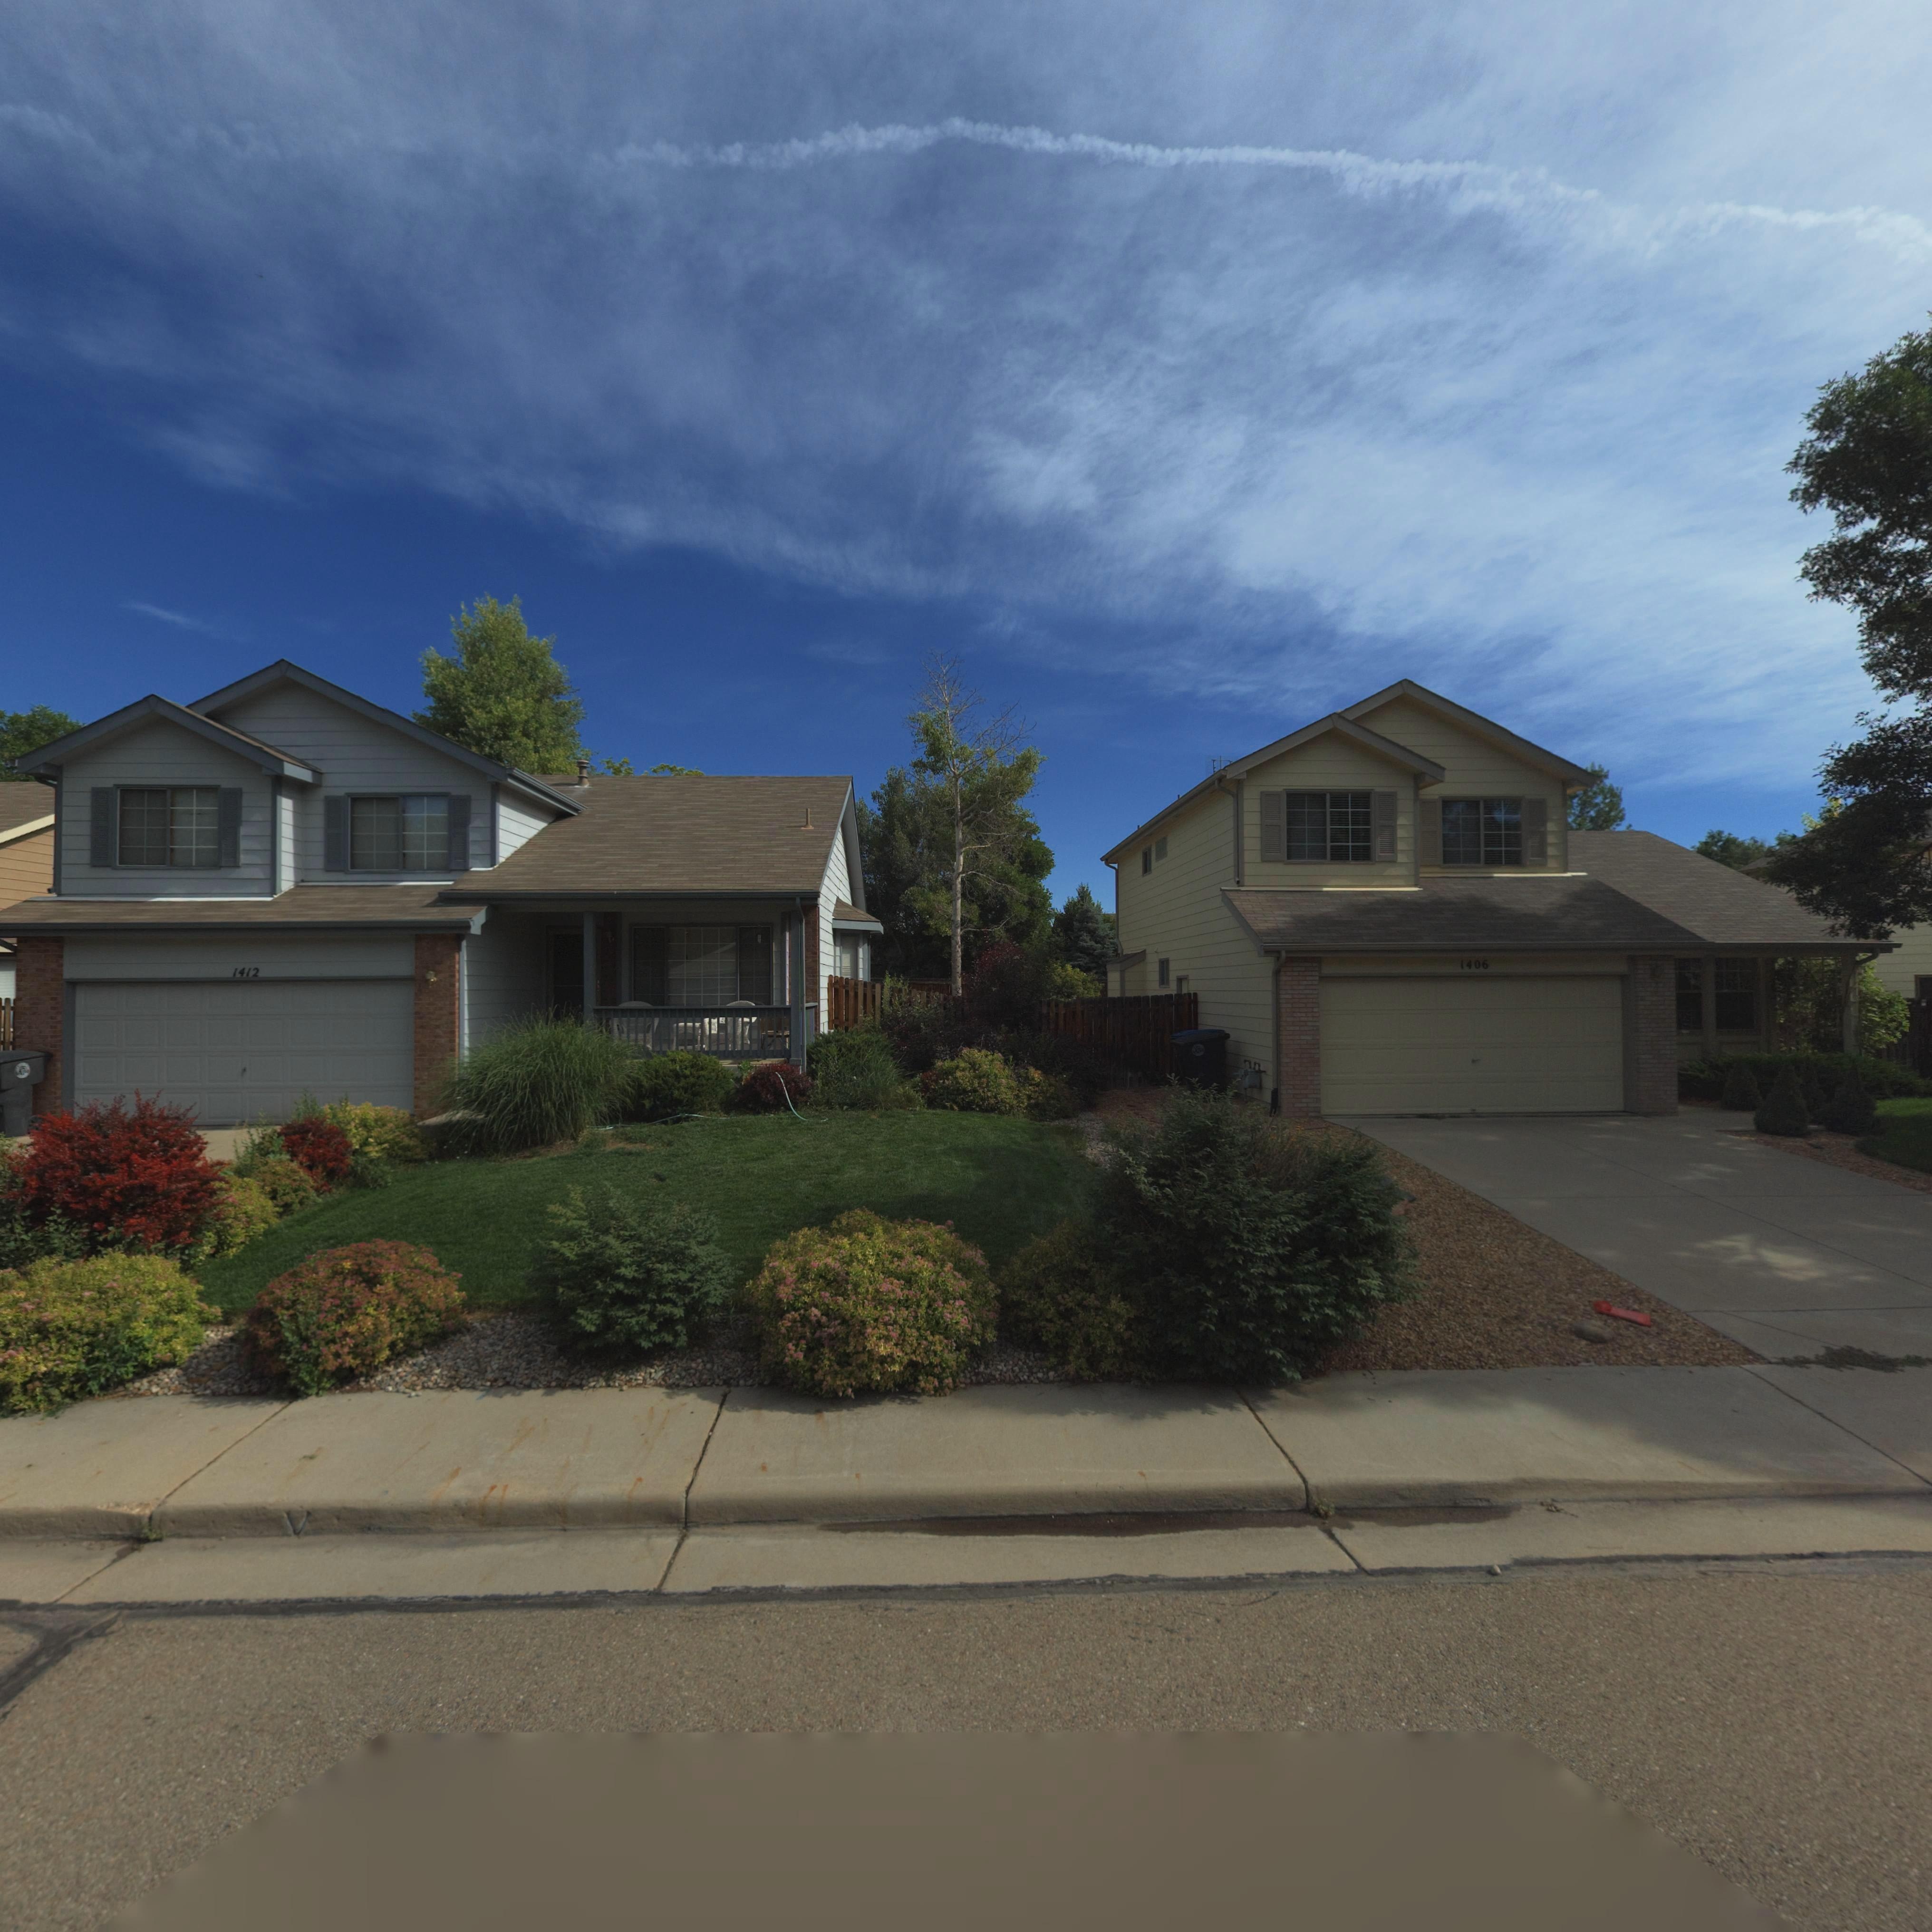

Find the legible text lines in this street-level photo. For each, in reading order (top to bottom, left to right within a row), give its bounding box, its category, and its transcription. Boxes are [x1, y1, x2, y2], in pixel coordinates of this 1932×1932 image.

[1460, 959, 1488, 969] StreetNumber: 1406
[232, 967, 260, 977] StreetNumber: 1412